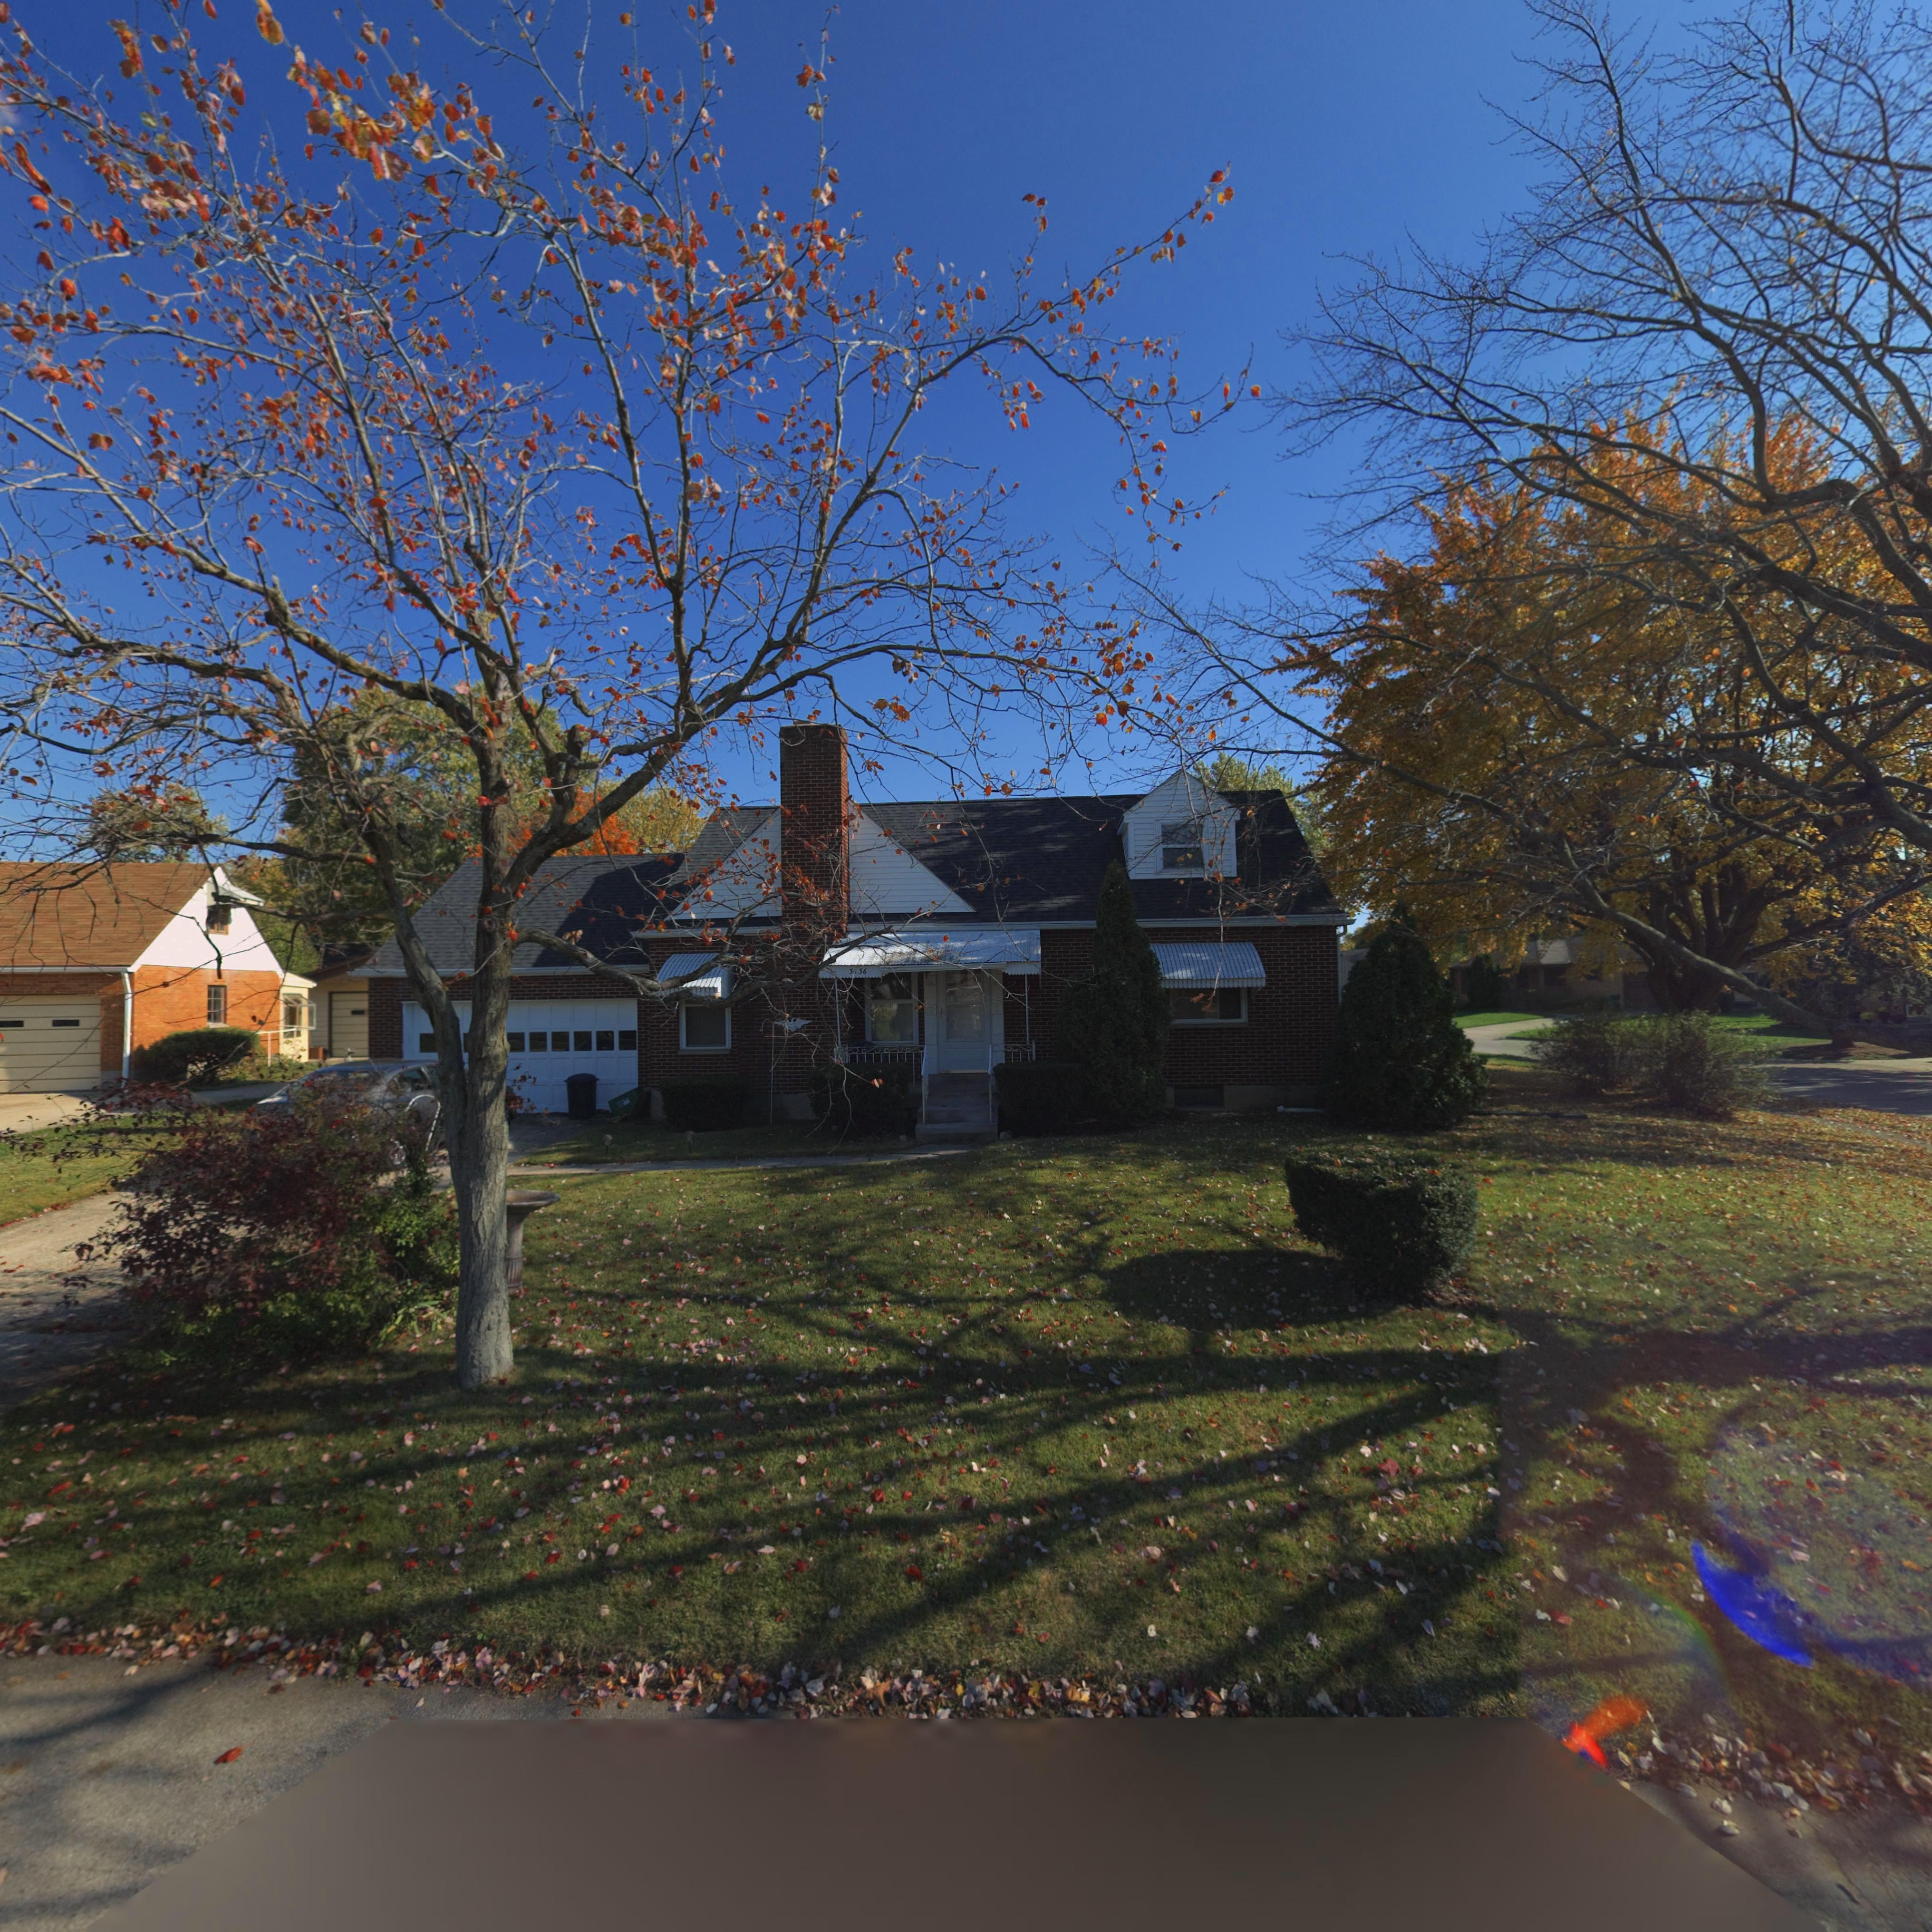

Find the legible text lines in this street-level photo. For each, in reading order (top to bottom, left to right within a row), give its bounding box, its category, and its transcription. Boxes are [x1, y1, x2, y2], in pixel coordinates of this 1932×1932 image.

[848, 968, 867, 975] StreetNumber: 3*36